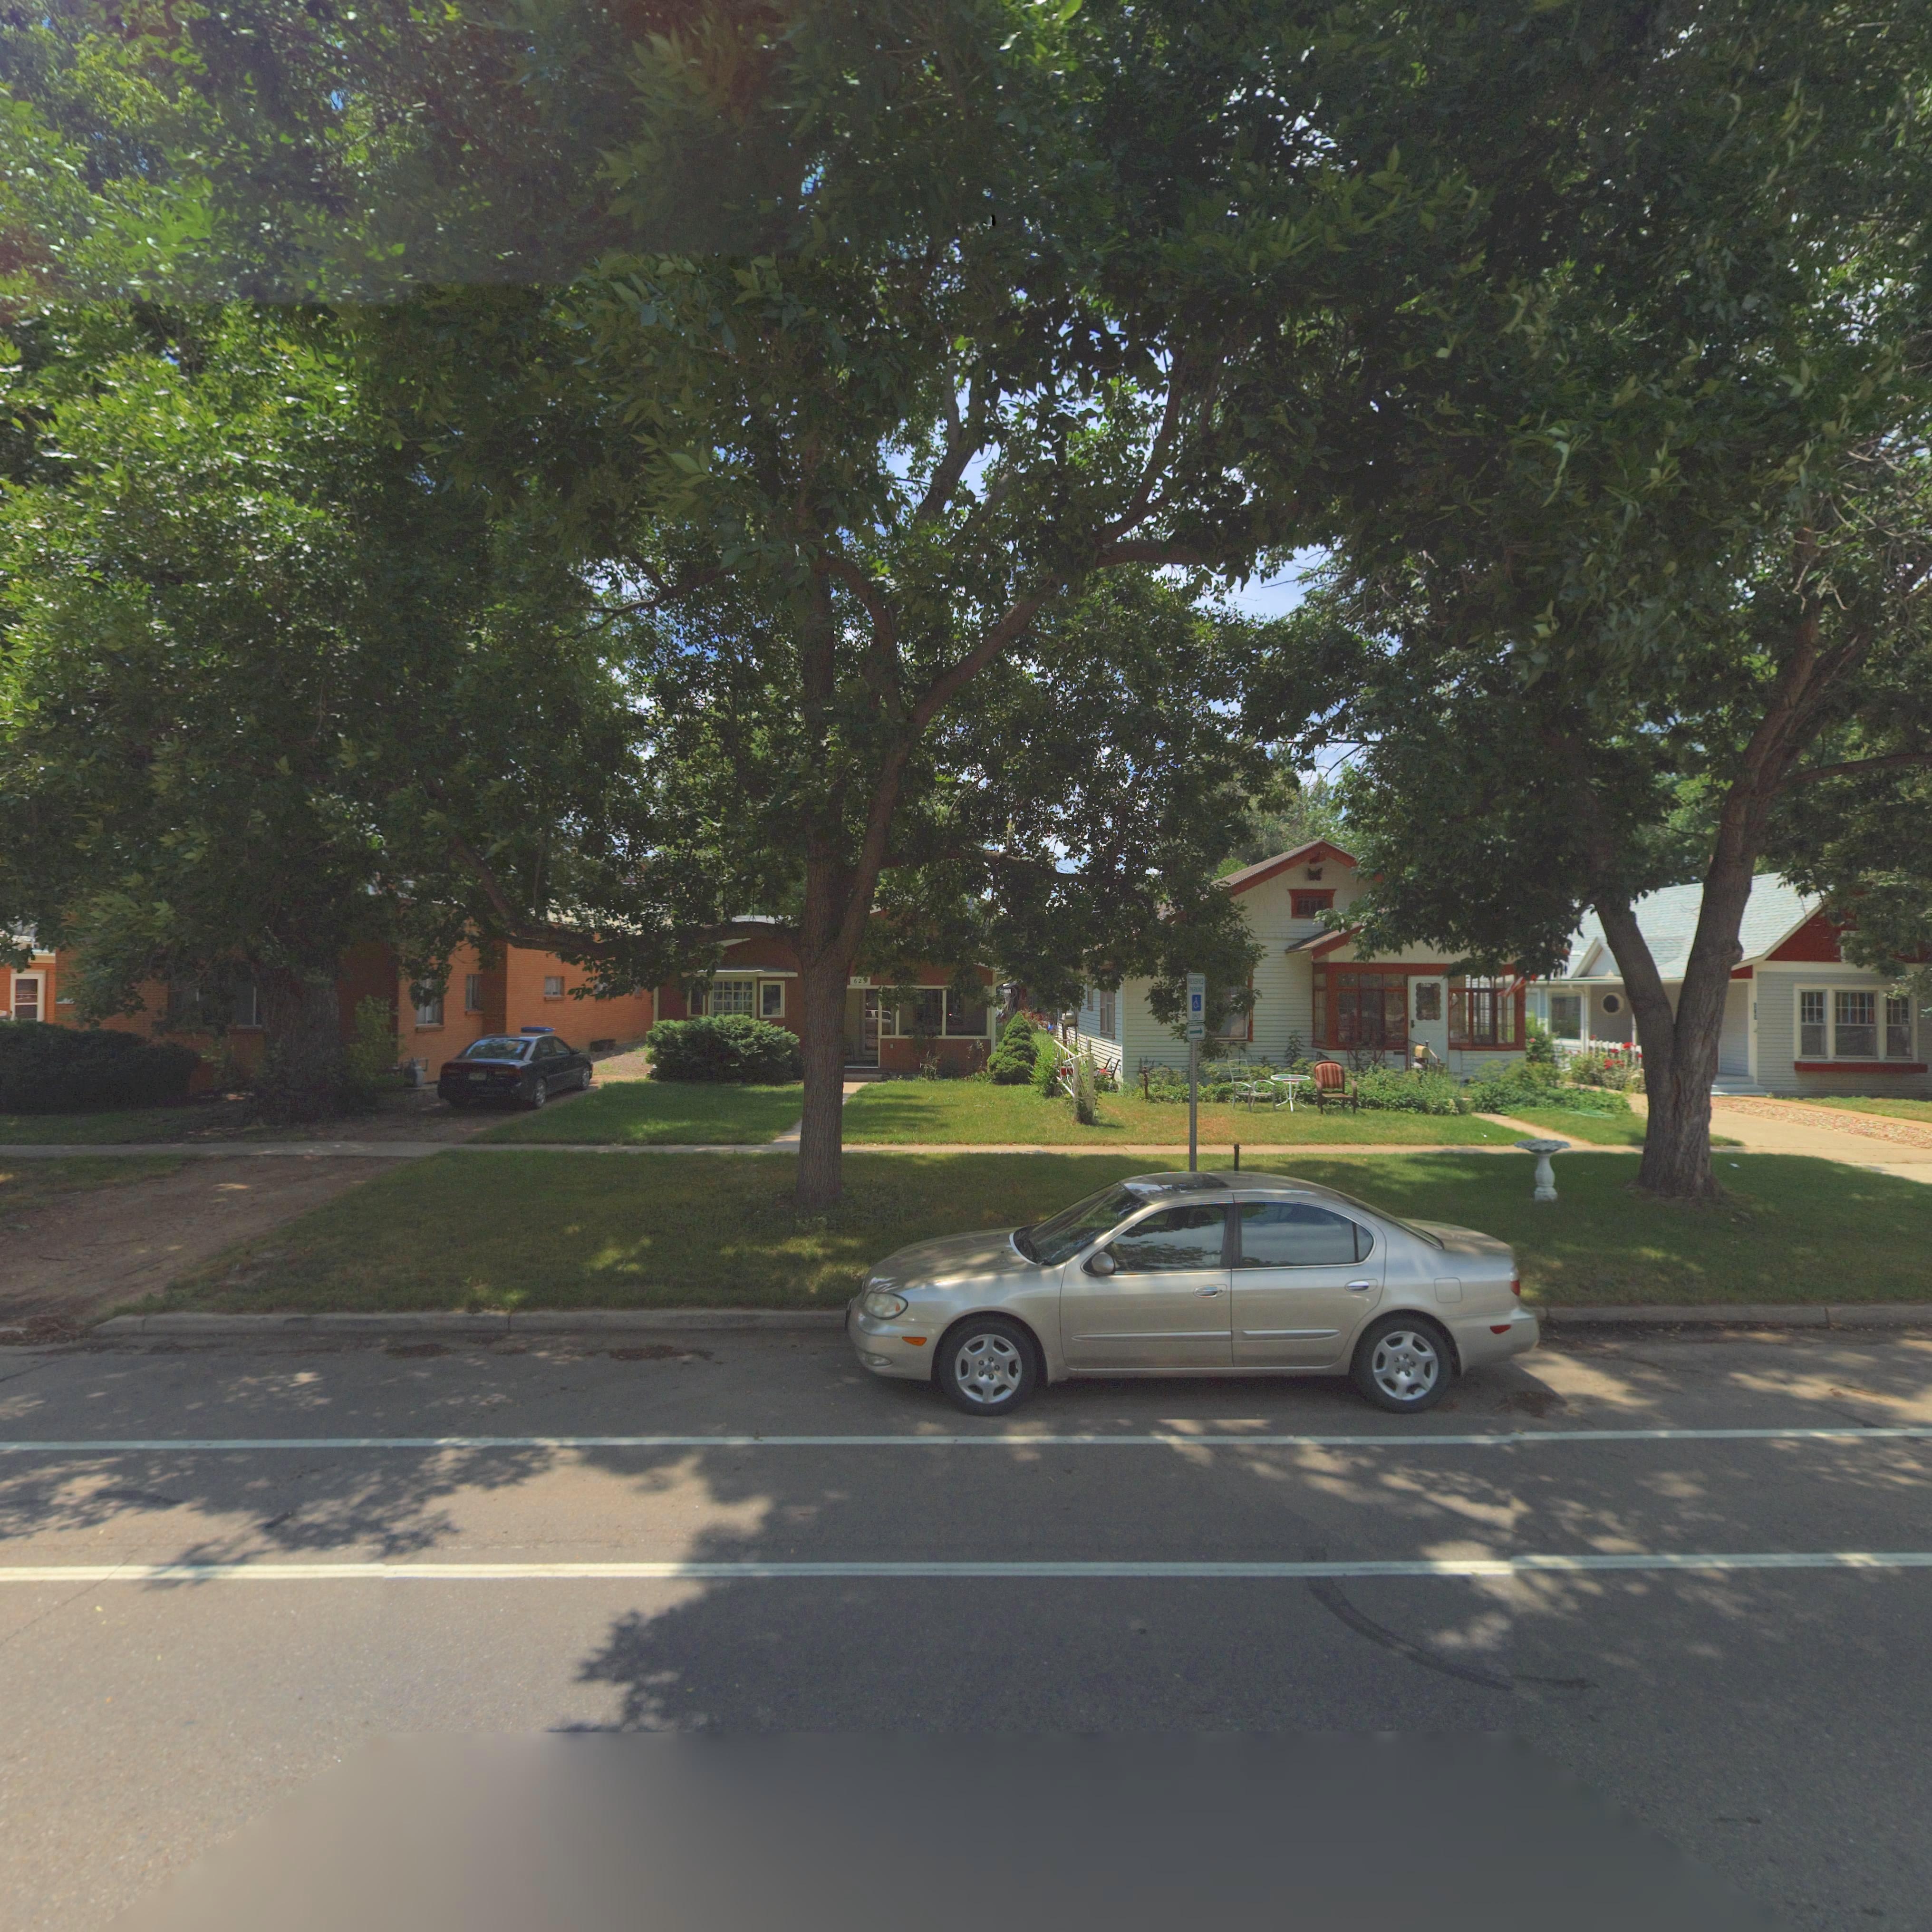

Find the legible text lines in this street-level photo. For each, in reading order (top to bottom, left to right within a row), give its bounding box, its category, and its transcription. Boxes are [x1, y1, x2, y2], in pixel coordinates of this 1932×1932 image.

[853, 978, 862, 984] StreetNumber: 62
[1421, 982, 1430, 987] StreetNumber: 627